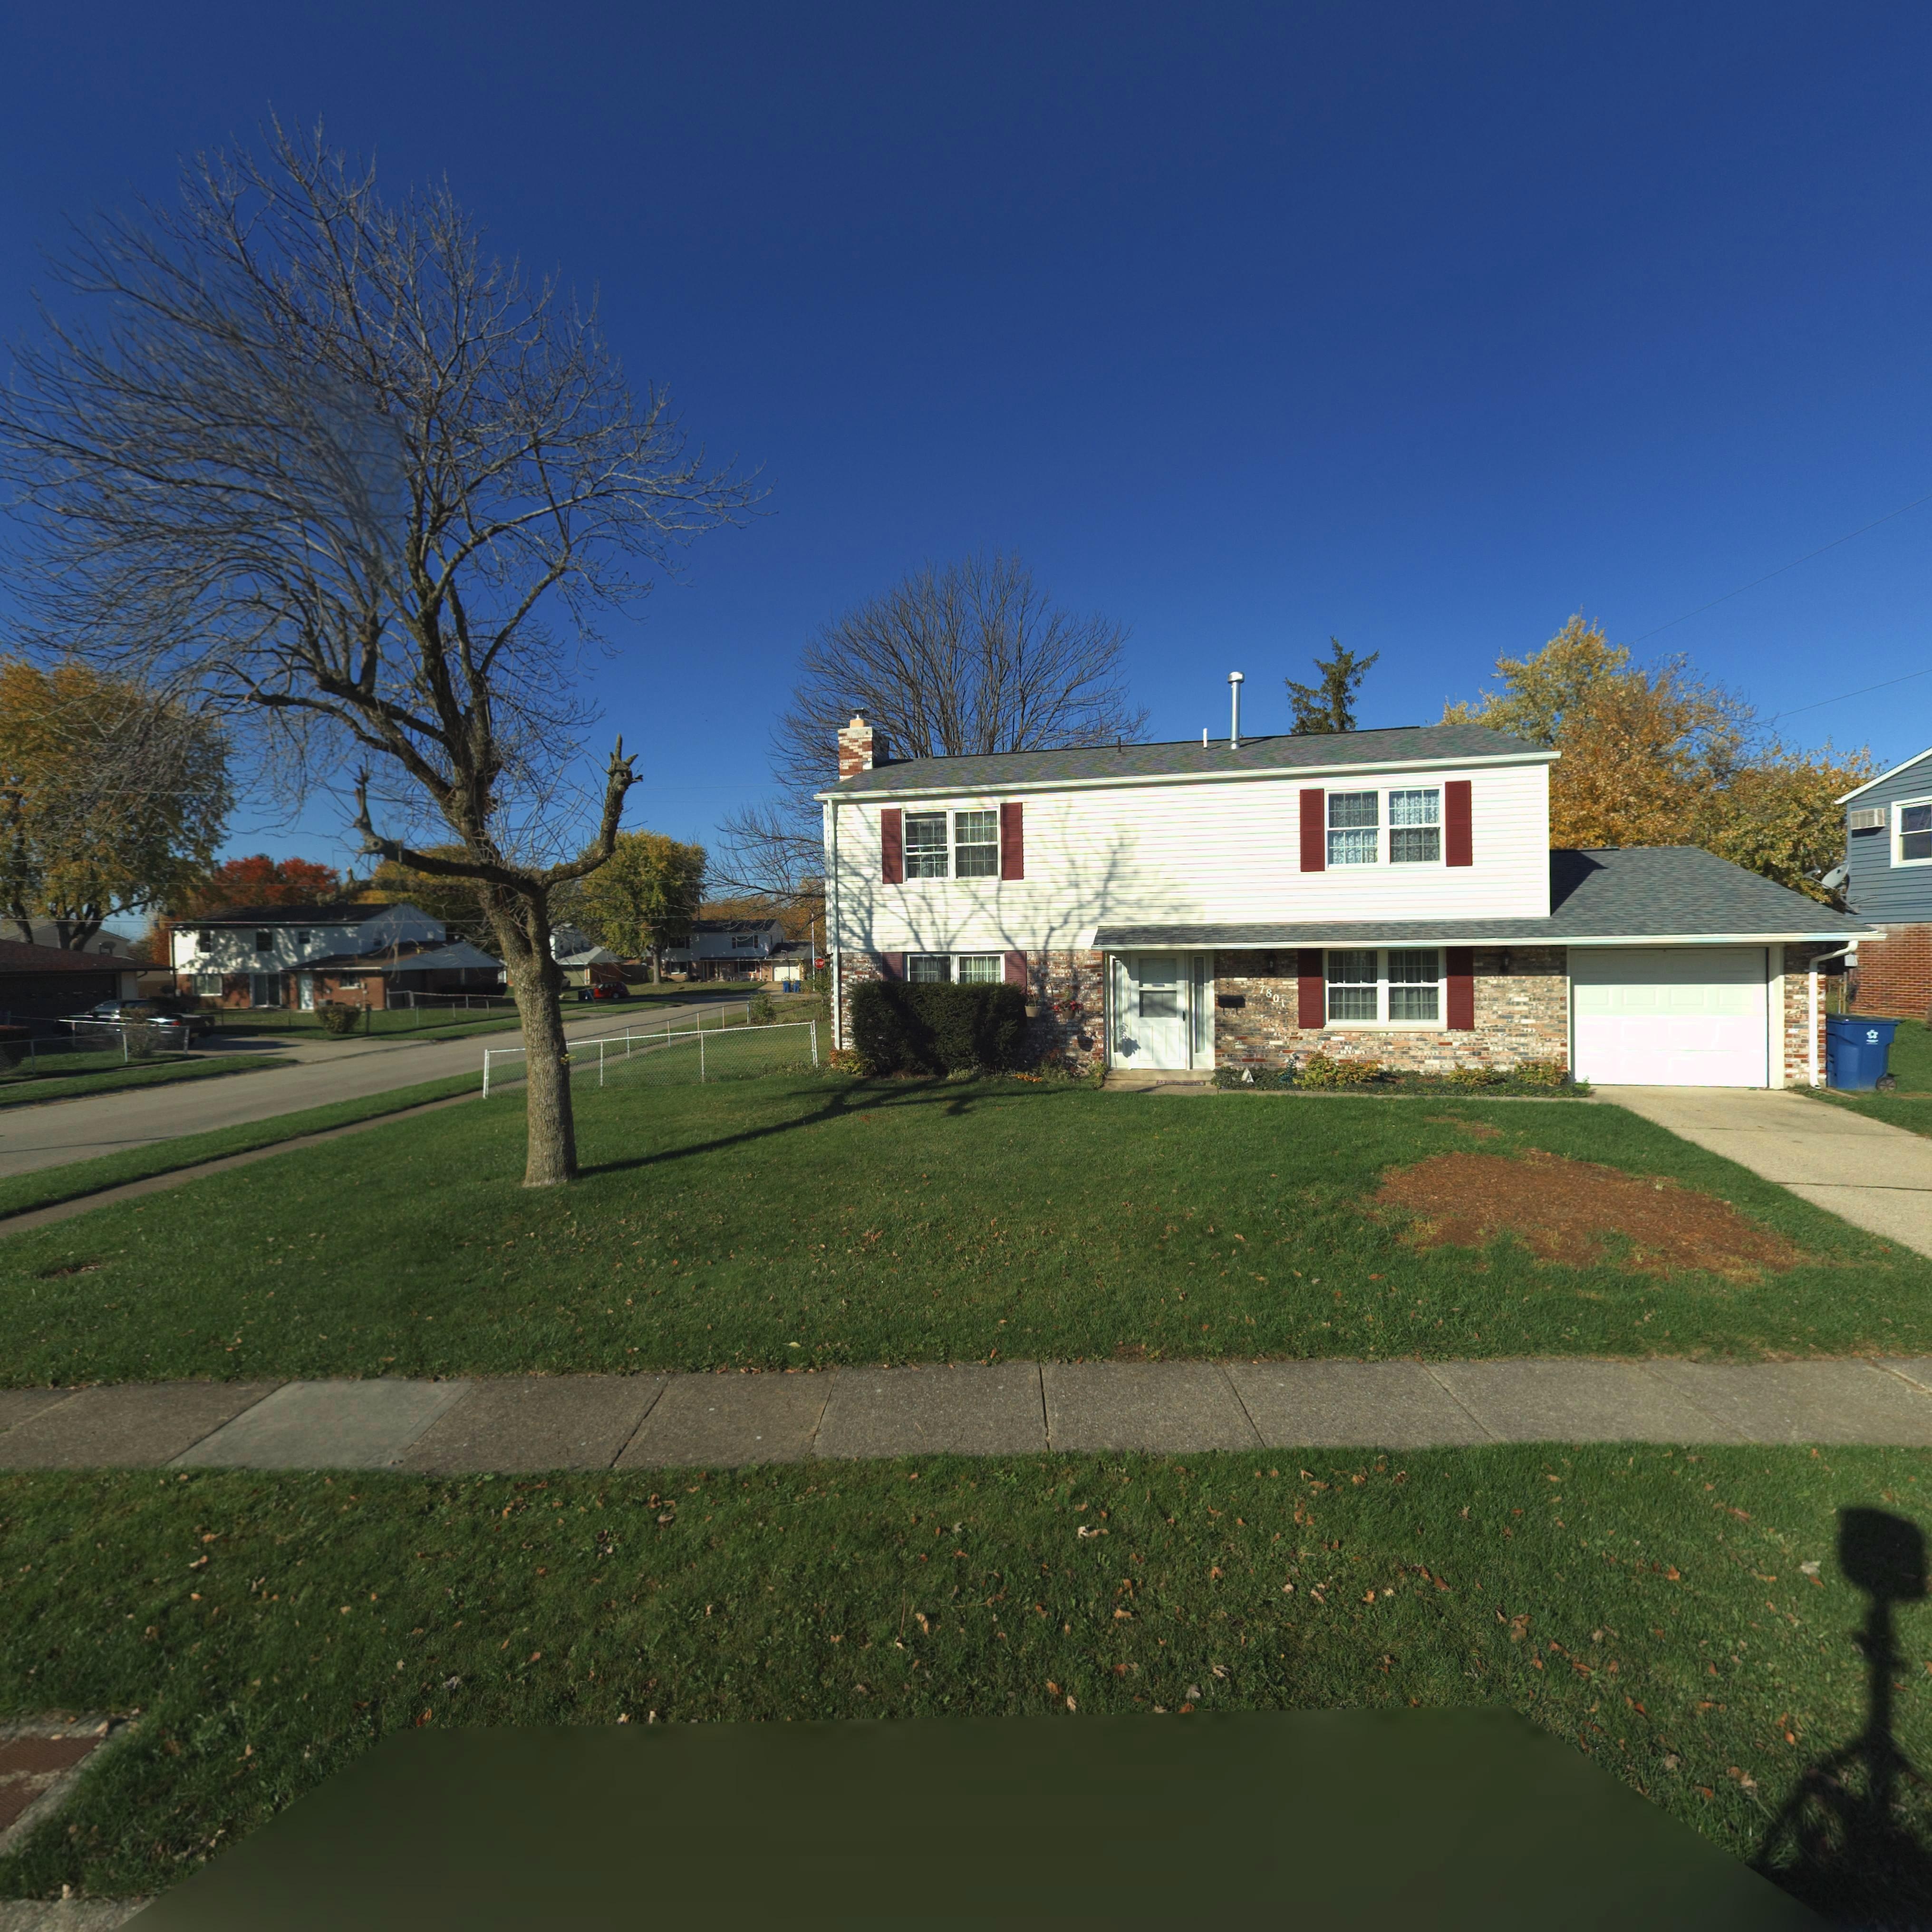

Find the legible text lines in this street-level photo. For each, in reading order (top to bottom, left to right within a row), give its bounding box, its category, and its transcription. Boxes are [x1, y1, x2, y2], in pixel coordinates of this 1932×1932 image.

[1258, 985, 1285, 1008] StreetNumber: 7801